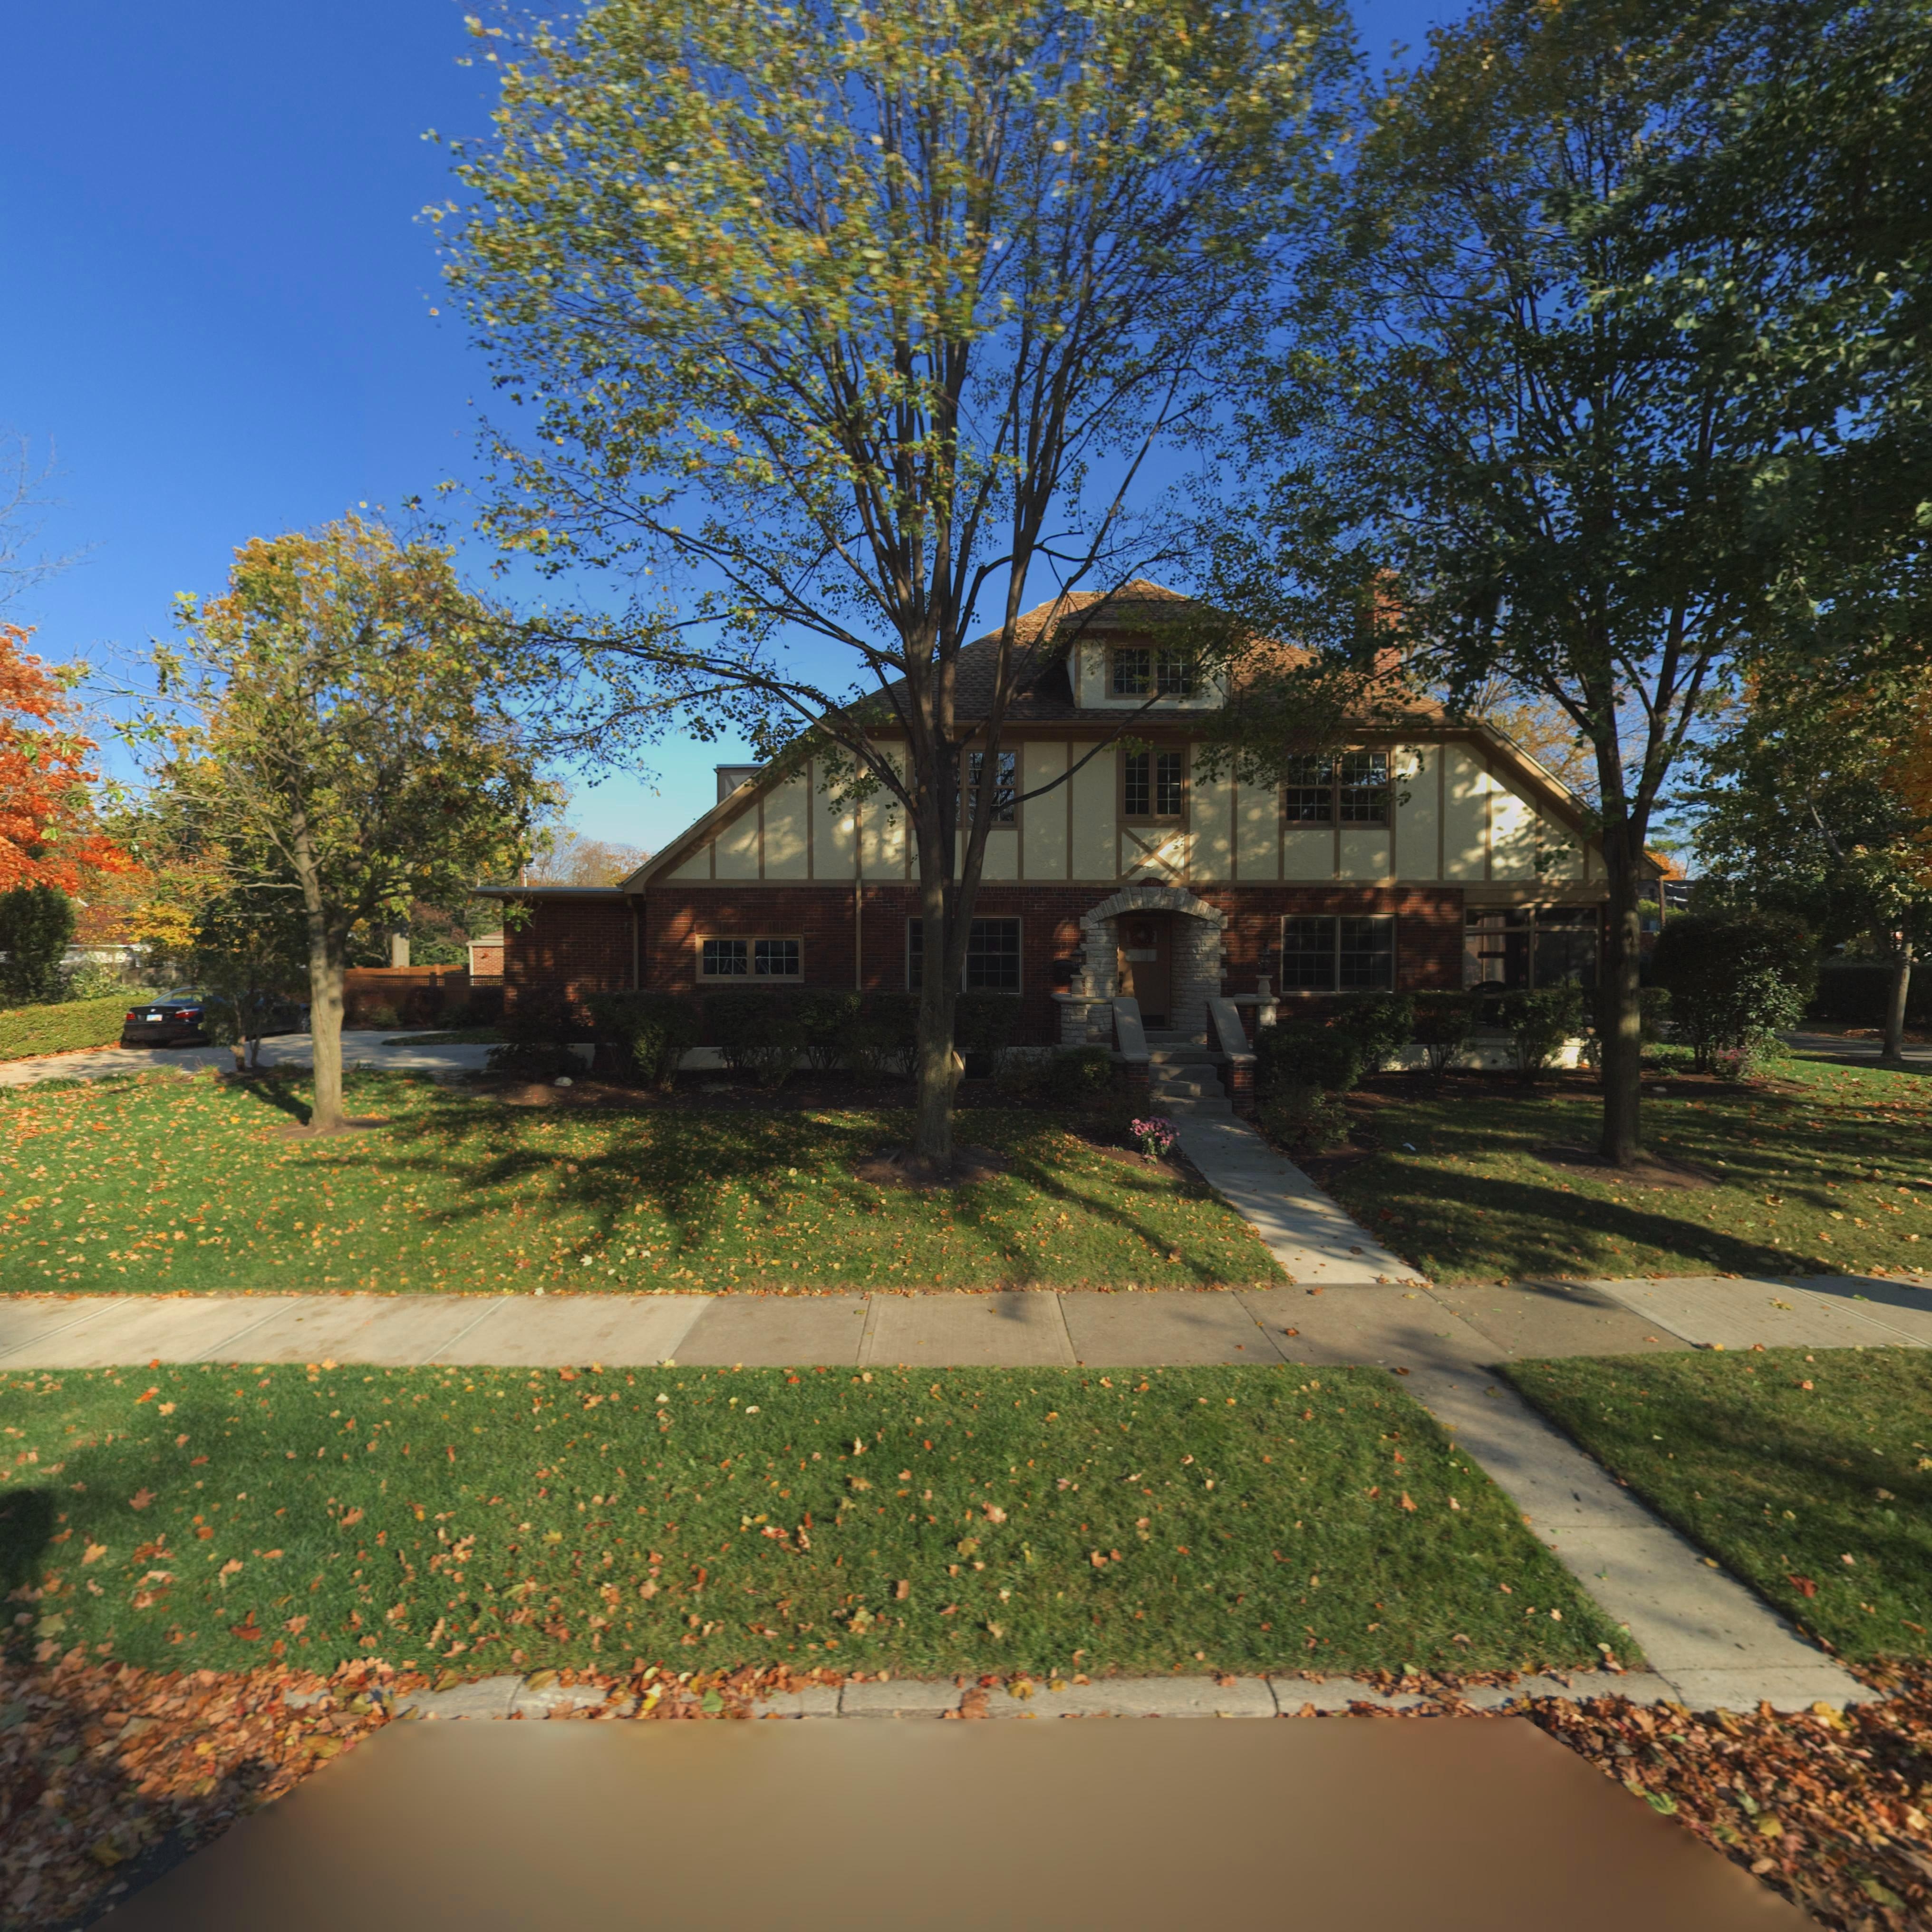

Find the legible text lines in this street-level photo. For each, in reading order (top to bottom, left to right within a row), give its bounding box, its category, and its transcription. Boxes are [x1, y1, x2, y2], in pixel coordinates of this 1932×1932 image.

[1145, 878, 1158, 886] StreetNumber: 570